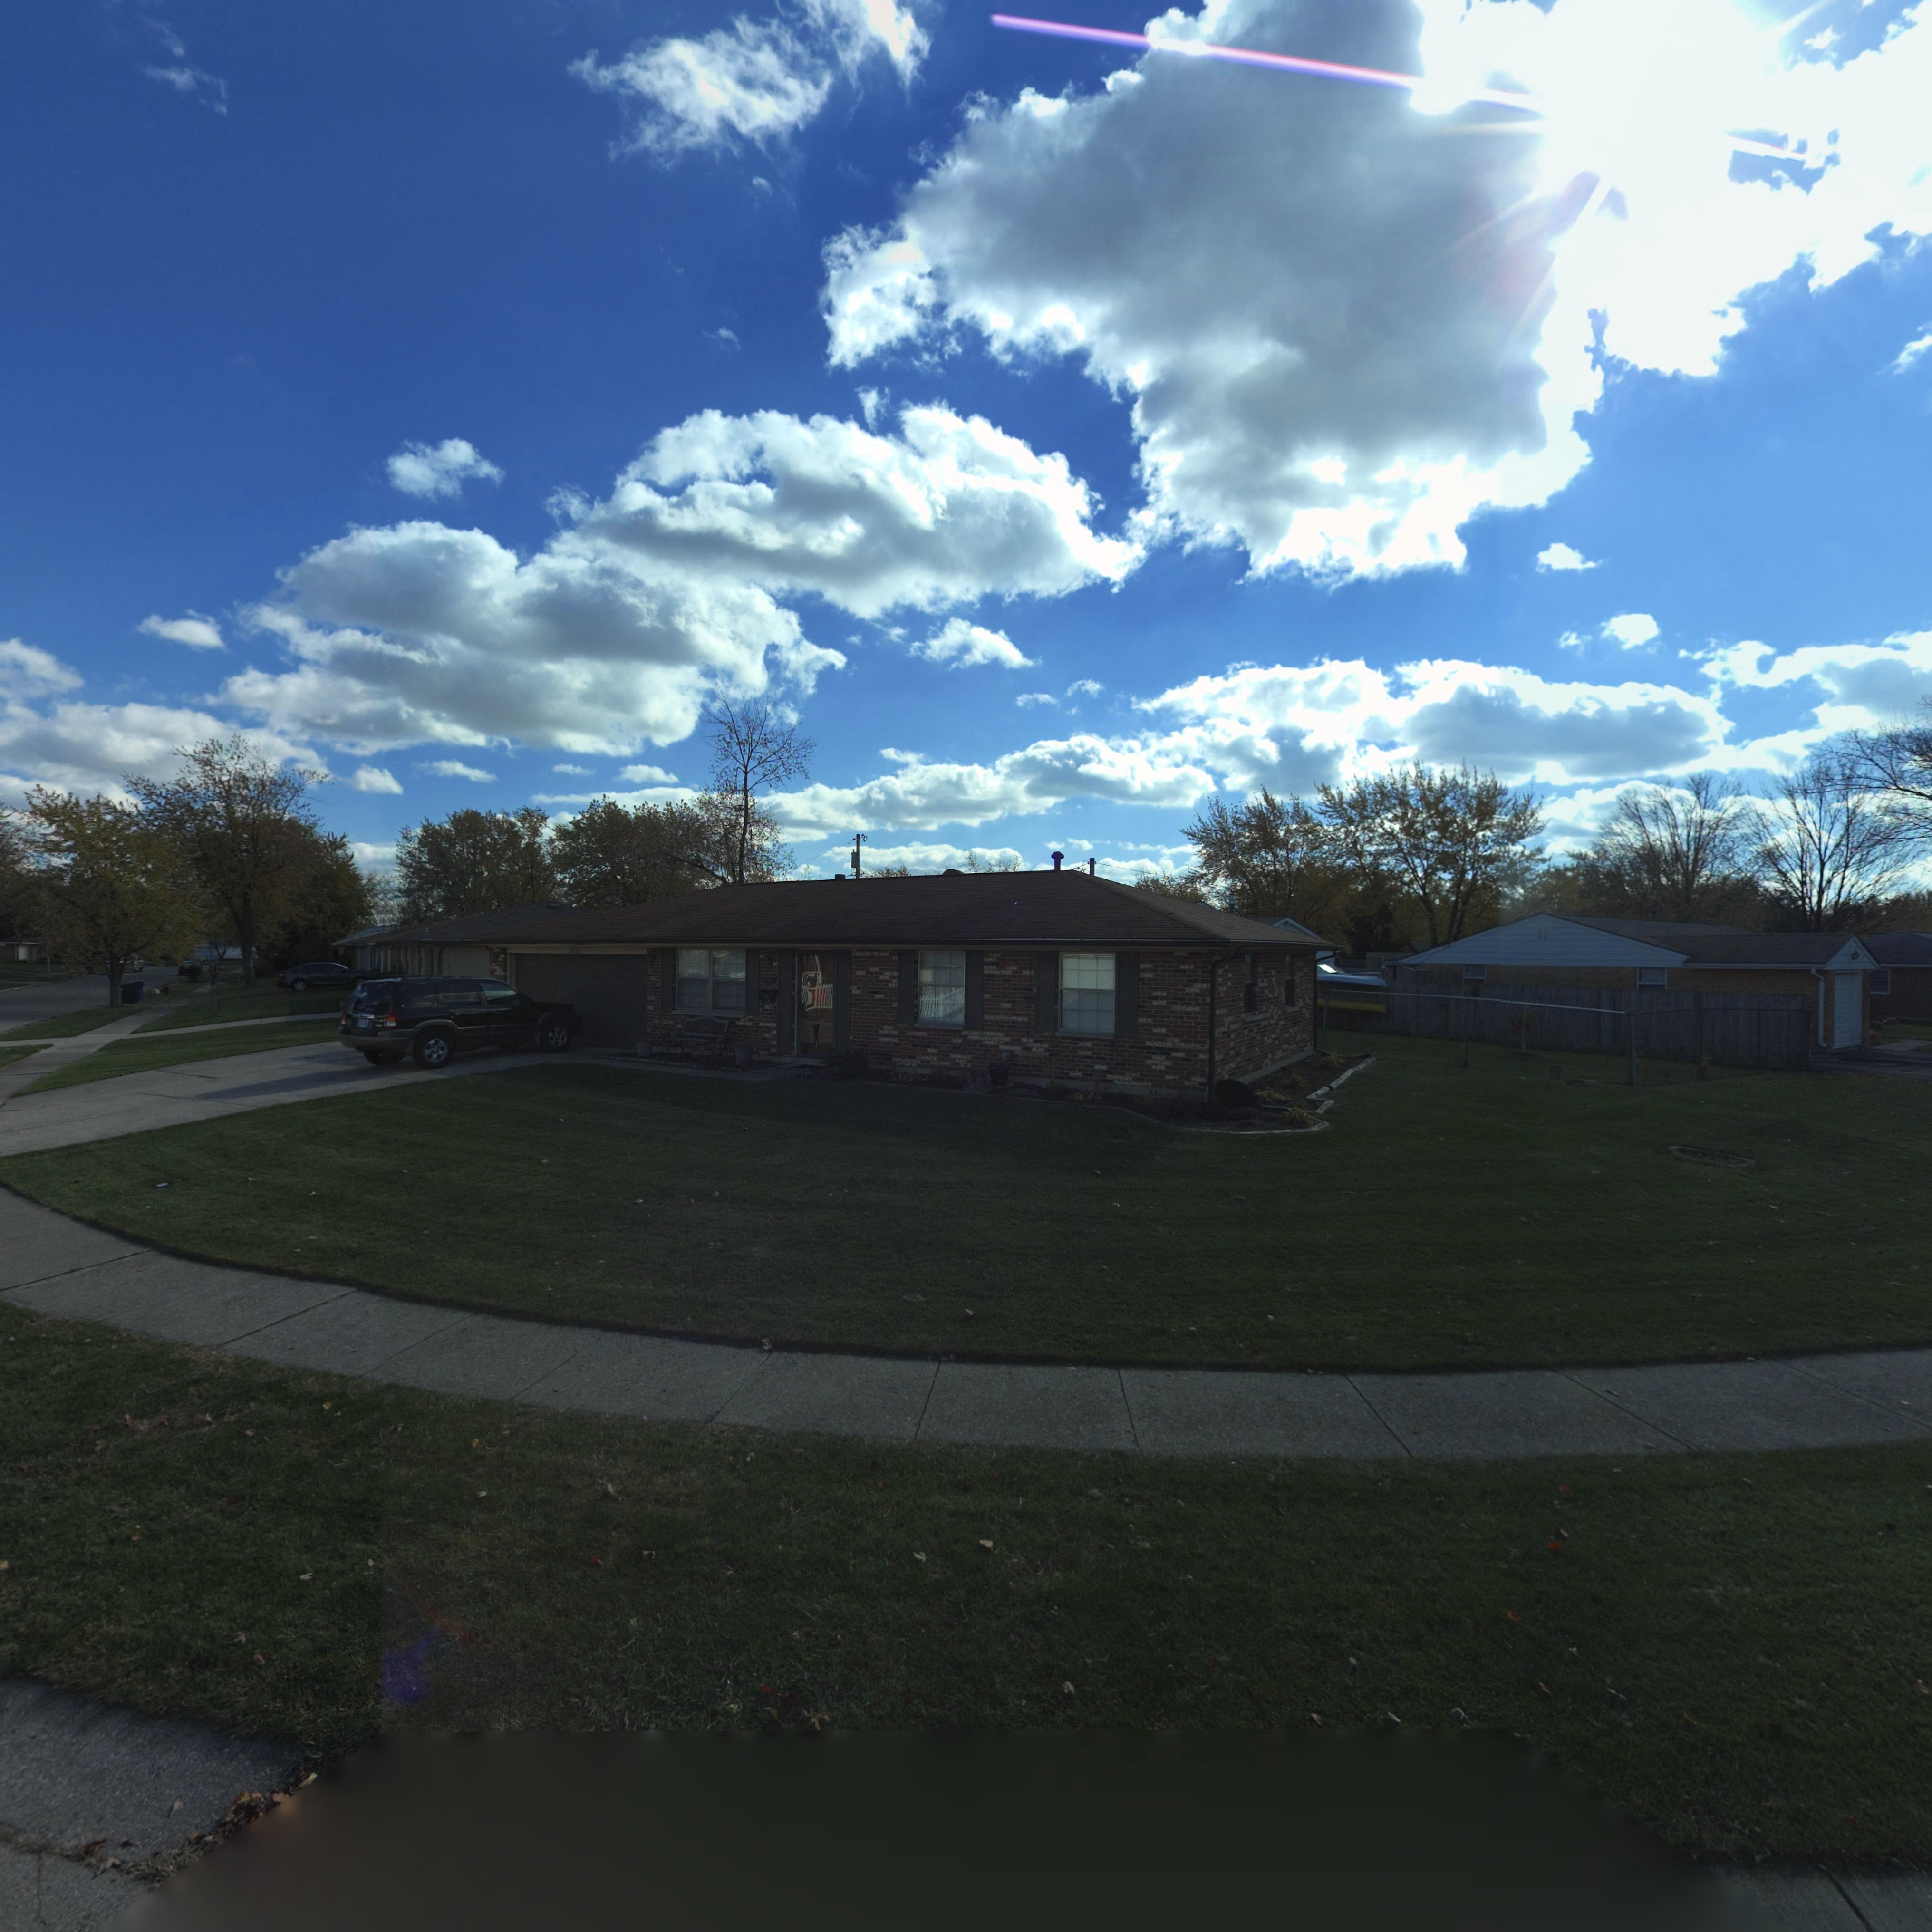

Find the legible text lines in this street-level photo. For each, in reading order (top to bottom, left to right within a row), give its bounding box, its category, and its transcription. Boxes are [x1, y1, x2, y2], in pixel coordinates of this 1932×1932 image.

[569, 948, 581, 954] StreetNumber: 6700